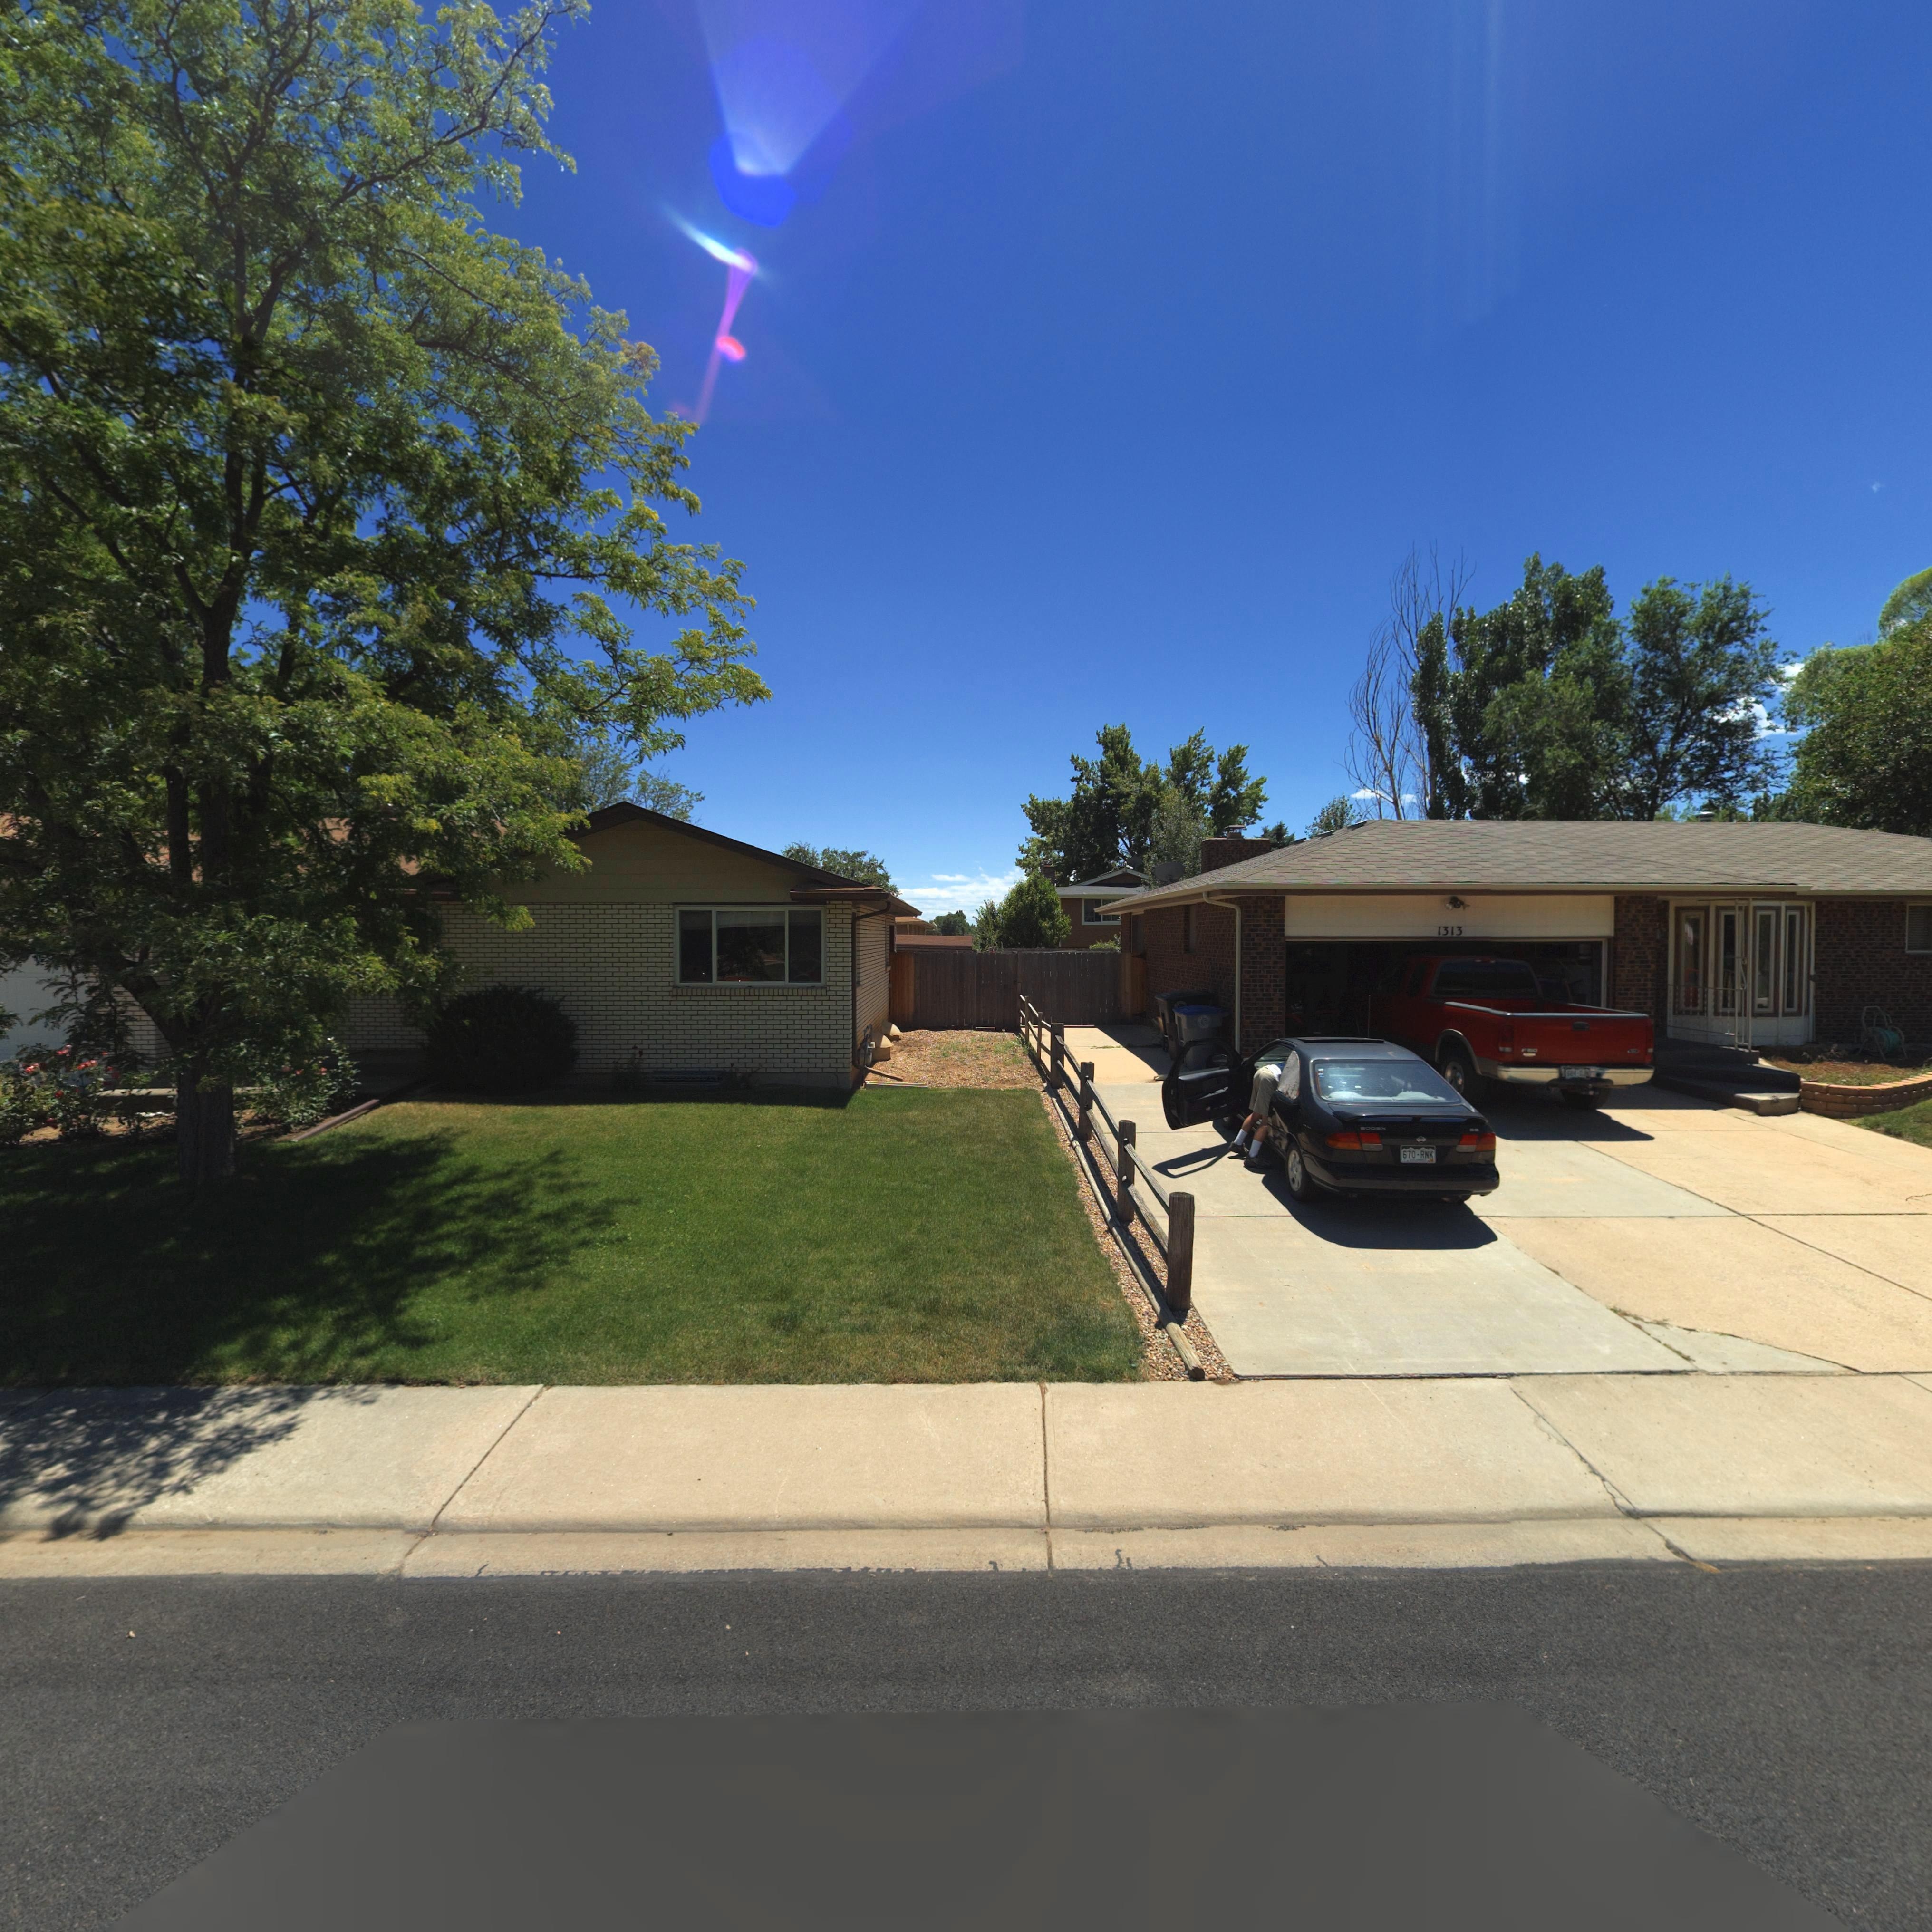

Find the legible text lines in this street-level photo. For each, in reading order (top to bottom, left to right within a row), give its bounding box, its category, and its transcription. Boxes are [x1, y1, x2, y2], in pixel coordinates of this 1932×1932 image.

[1438, 926, 1463, 936] StreetNumber: 1313